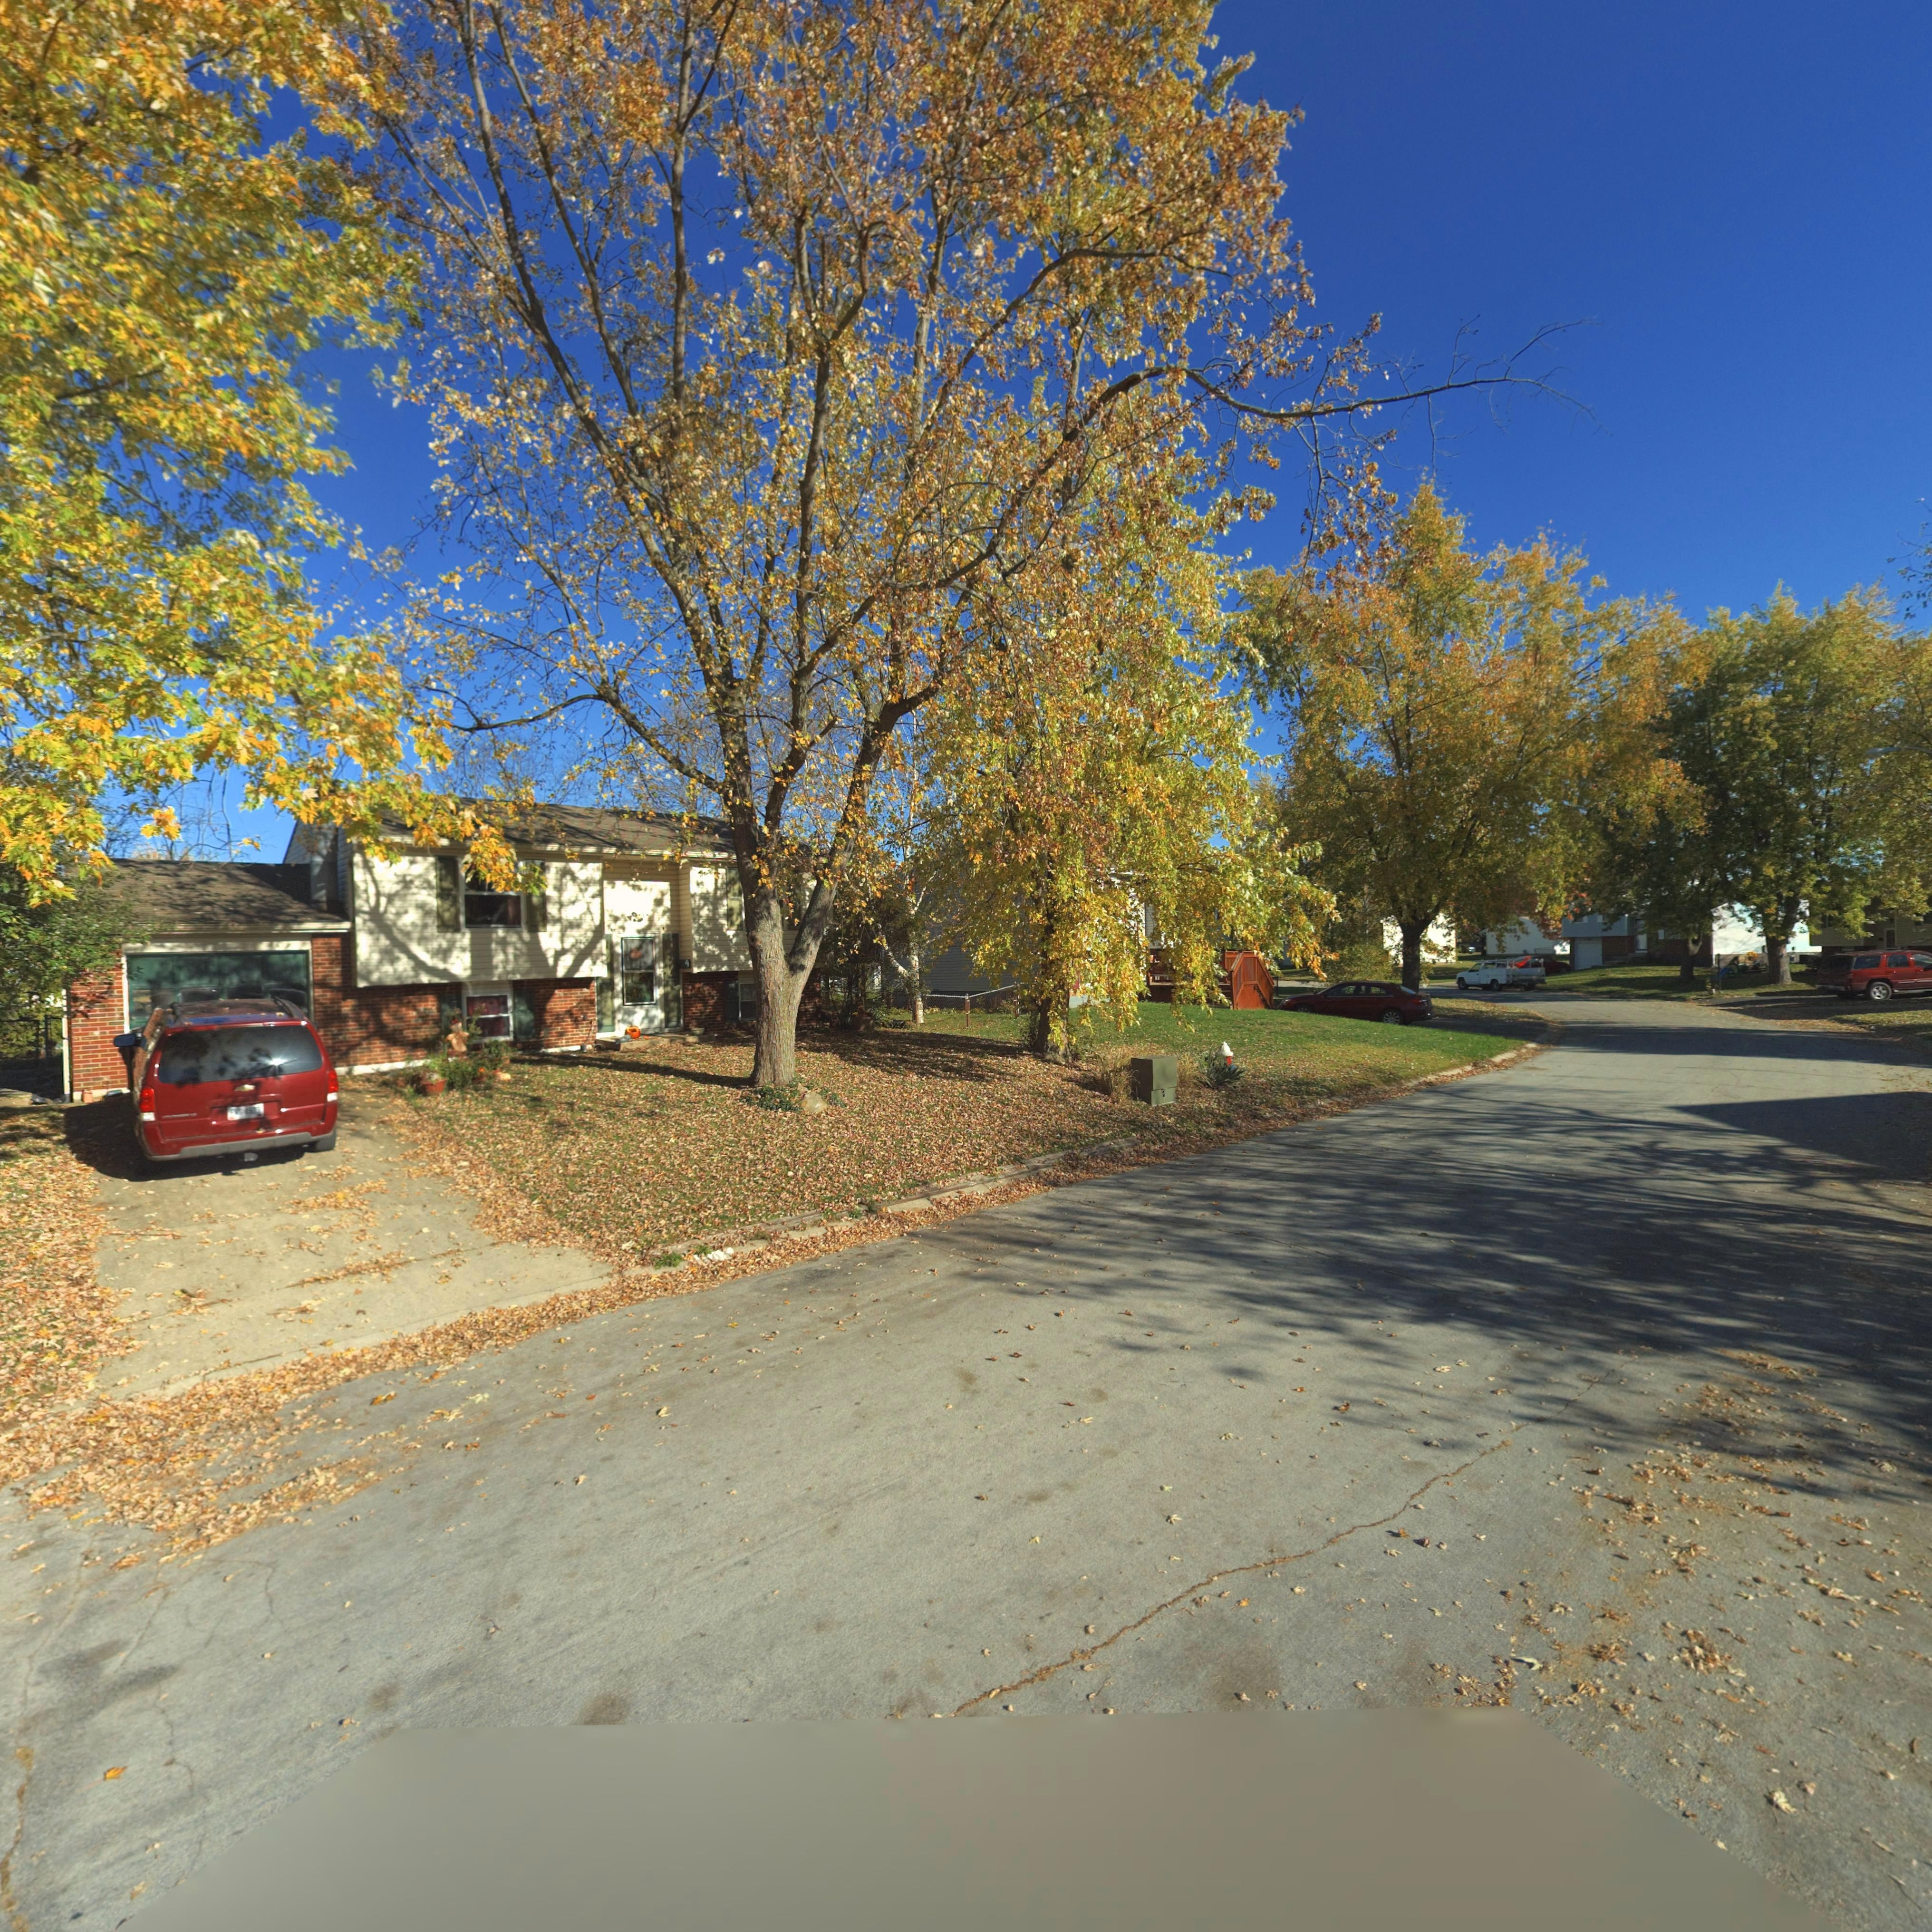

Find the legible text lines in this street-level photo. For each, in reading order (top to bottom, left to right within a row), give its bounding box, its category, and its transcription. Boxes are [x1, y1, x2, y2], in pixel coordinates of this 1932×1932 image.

[711, 1251, 722, 1262] StreetNumber: 0